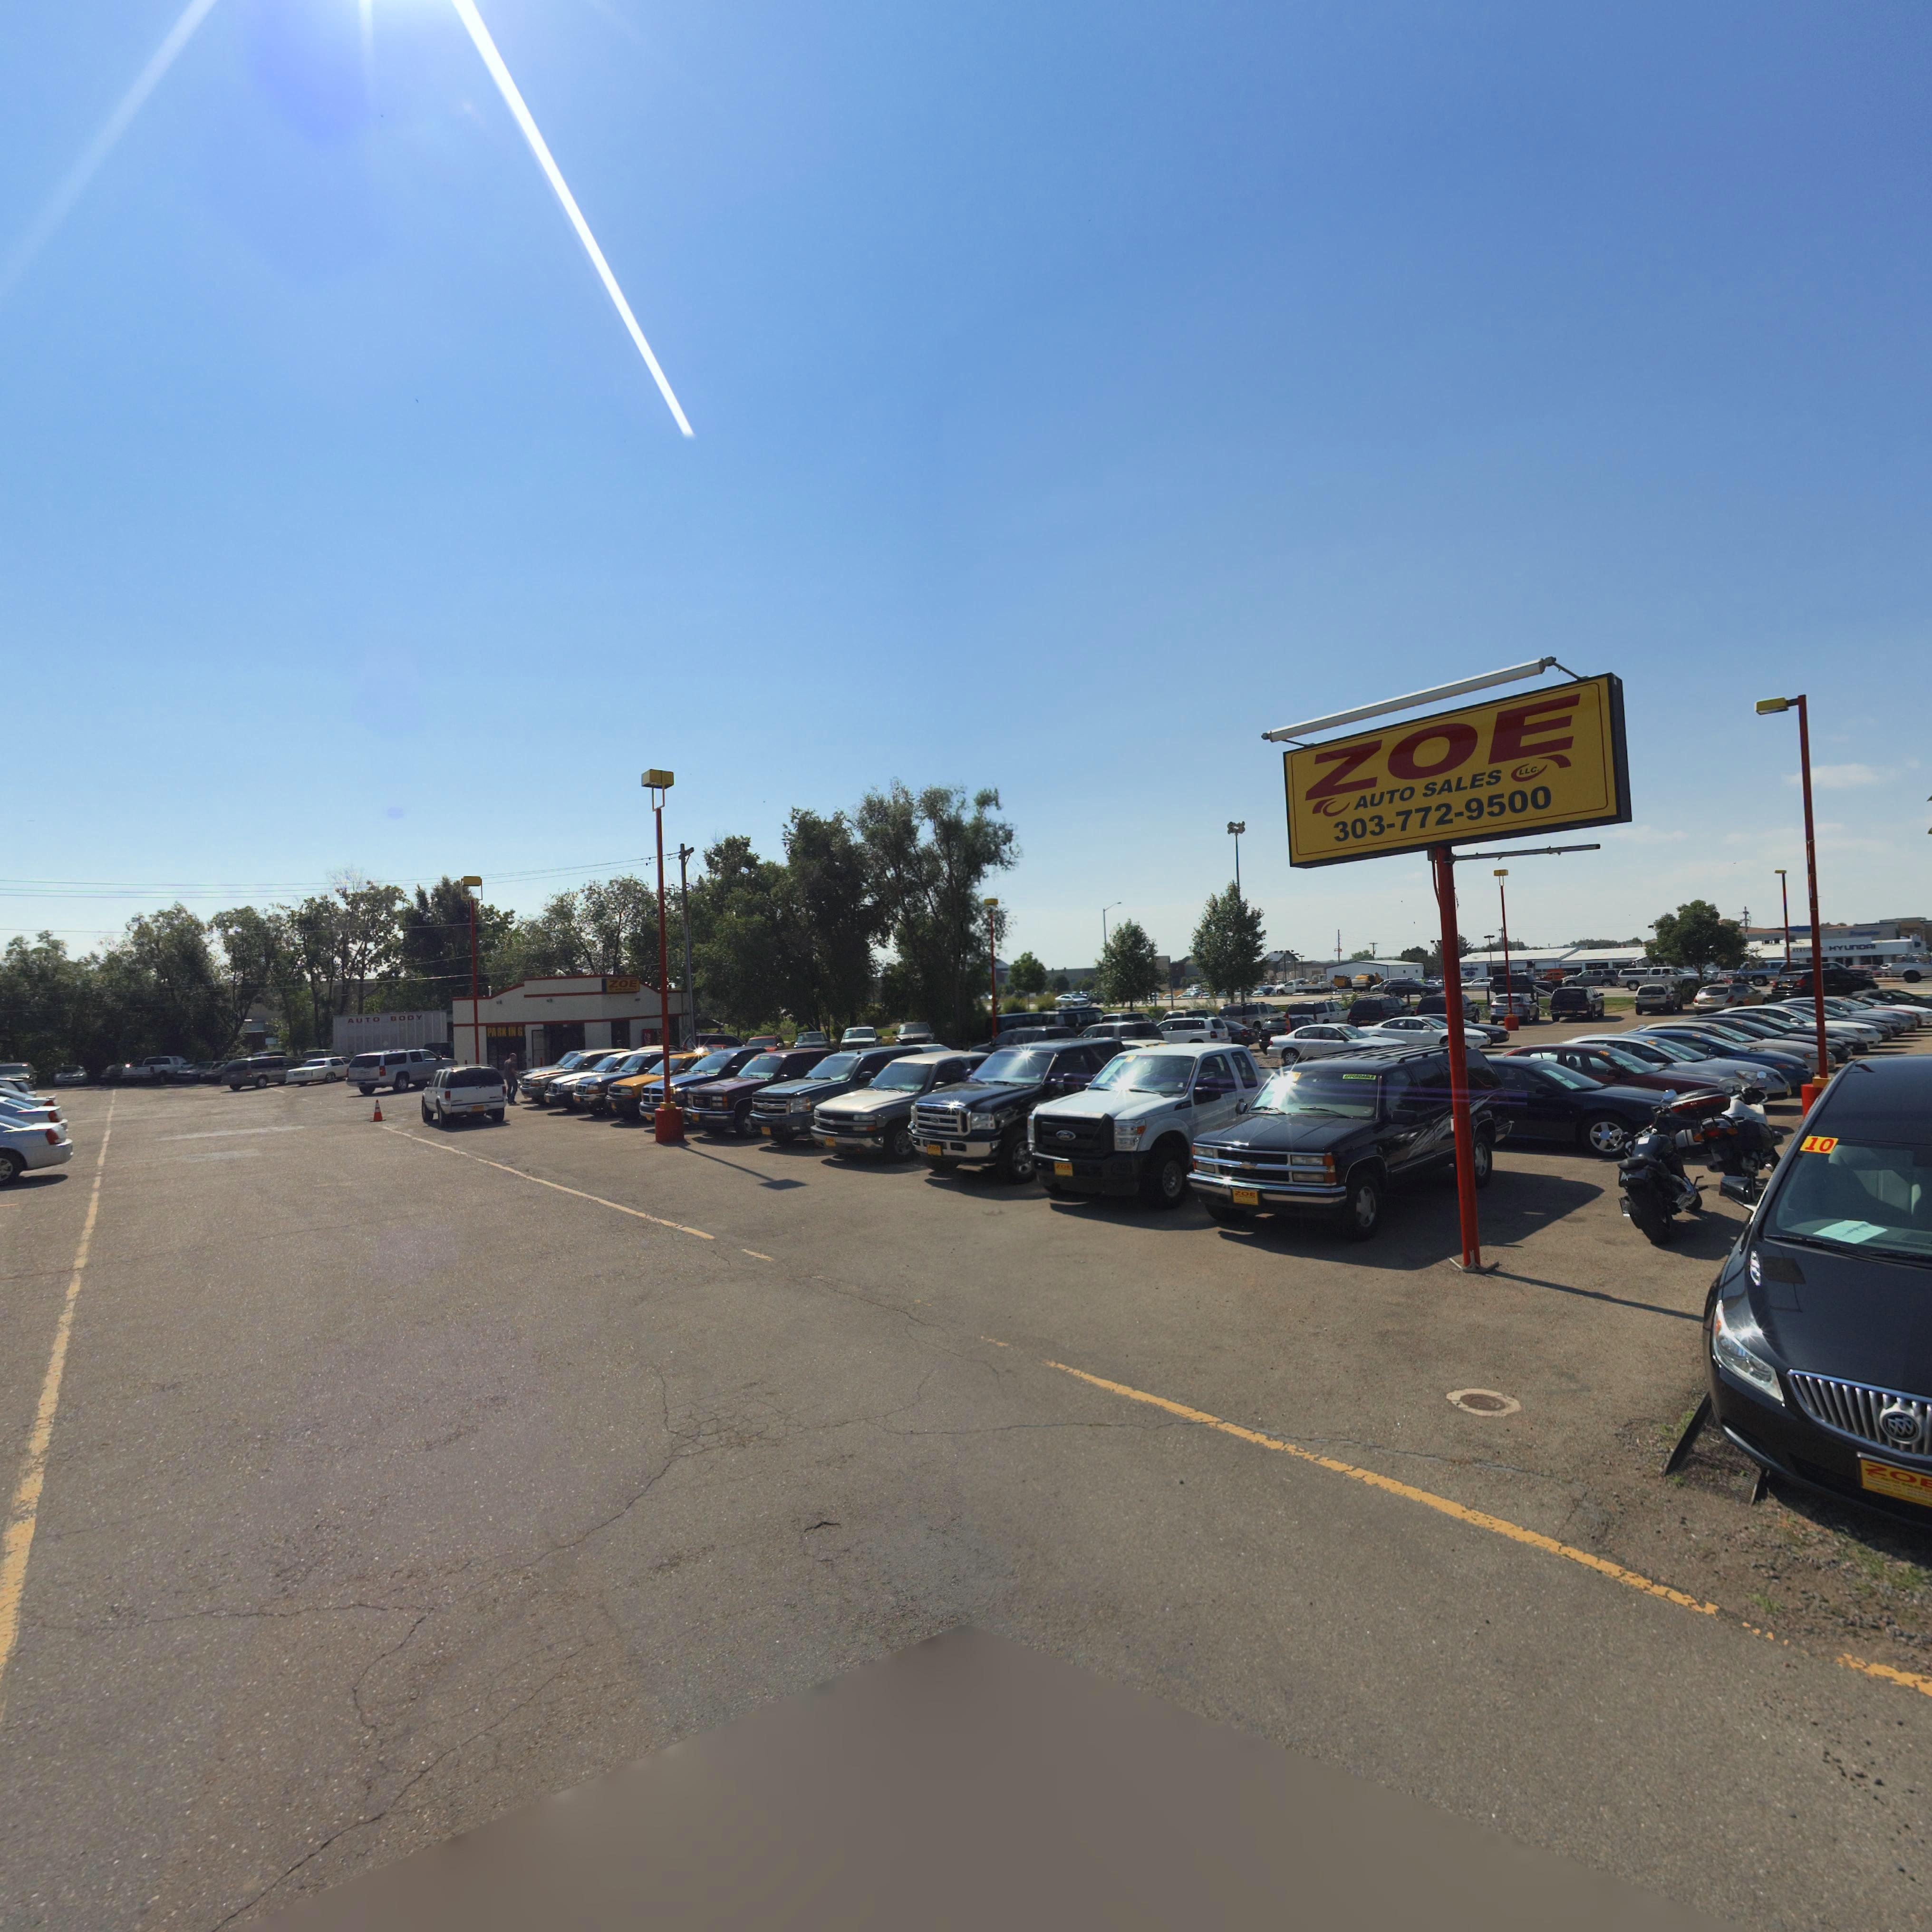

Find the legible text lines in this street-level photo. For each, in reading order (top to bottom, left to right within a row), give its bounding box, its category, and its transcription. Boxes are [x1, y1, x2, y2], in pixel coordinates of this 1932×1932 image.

[1303, 690, 1583, 802] BusinessName: ZOE
[1352, 768, 1503, 811] BusinessName: AUTO SALES
[1828, 943, 1876, 951] BusinessName: HYUnDAI
[608, 979, 637, 988] BusinessName: ZOE